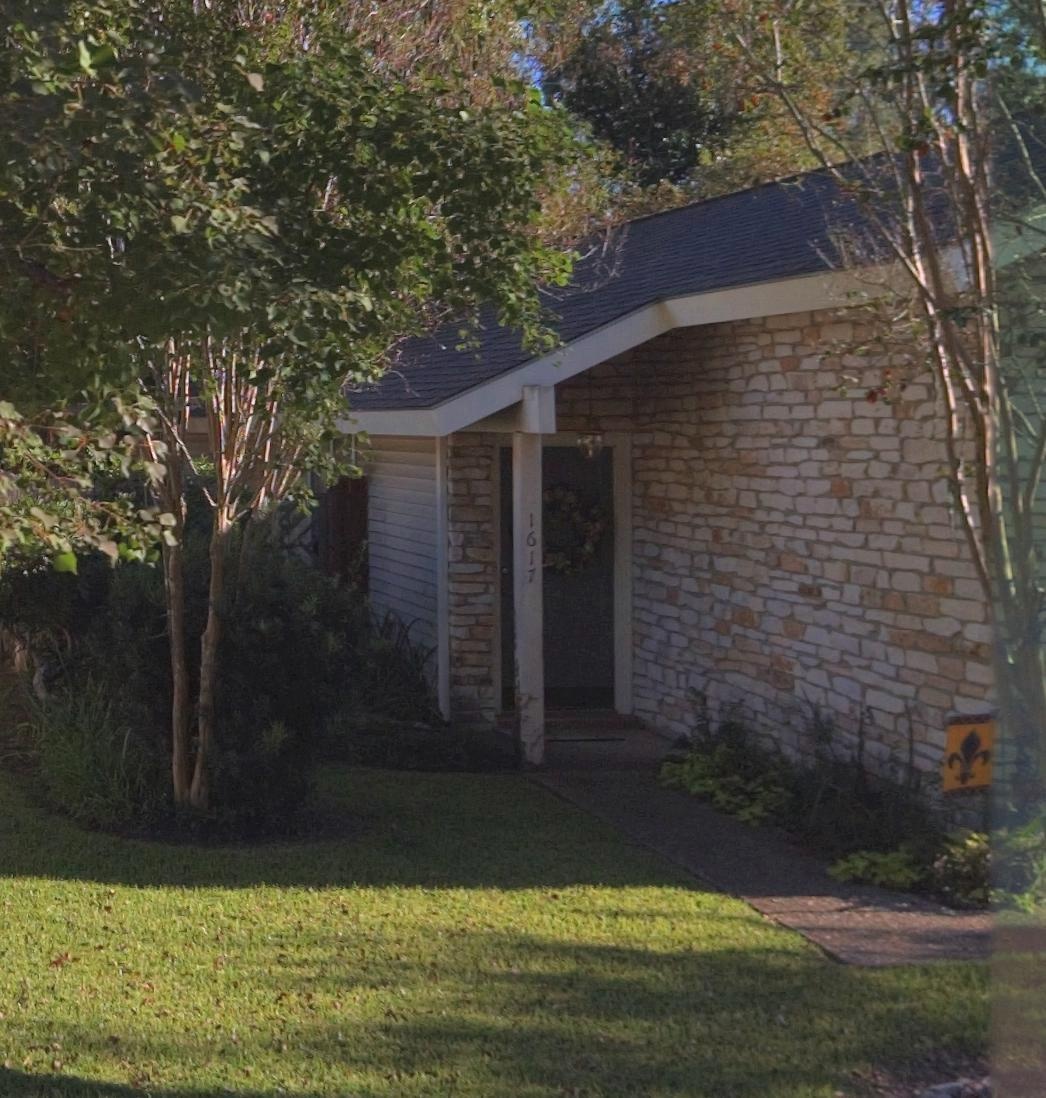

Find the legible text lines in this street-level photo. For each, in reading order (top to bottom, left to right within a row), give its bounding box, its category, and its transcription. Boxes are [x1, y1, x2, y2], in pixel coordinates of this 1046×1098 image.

[524, 509, 539, 585] StreetNumber: 1617